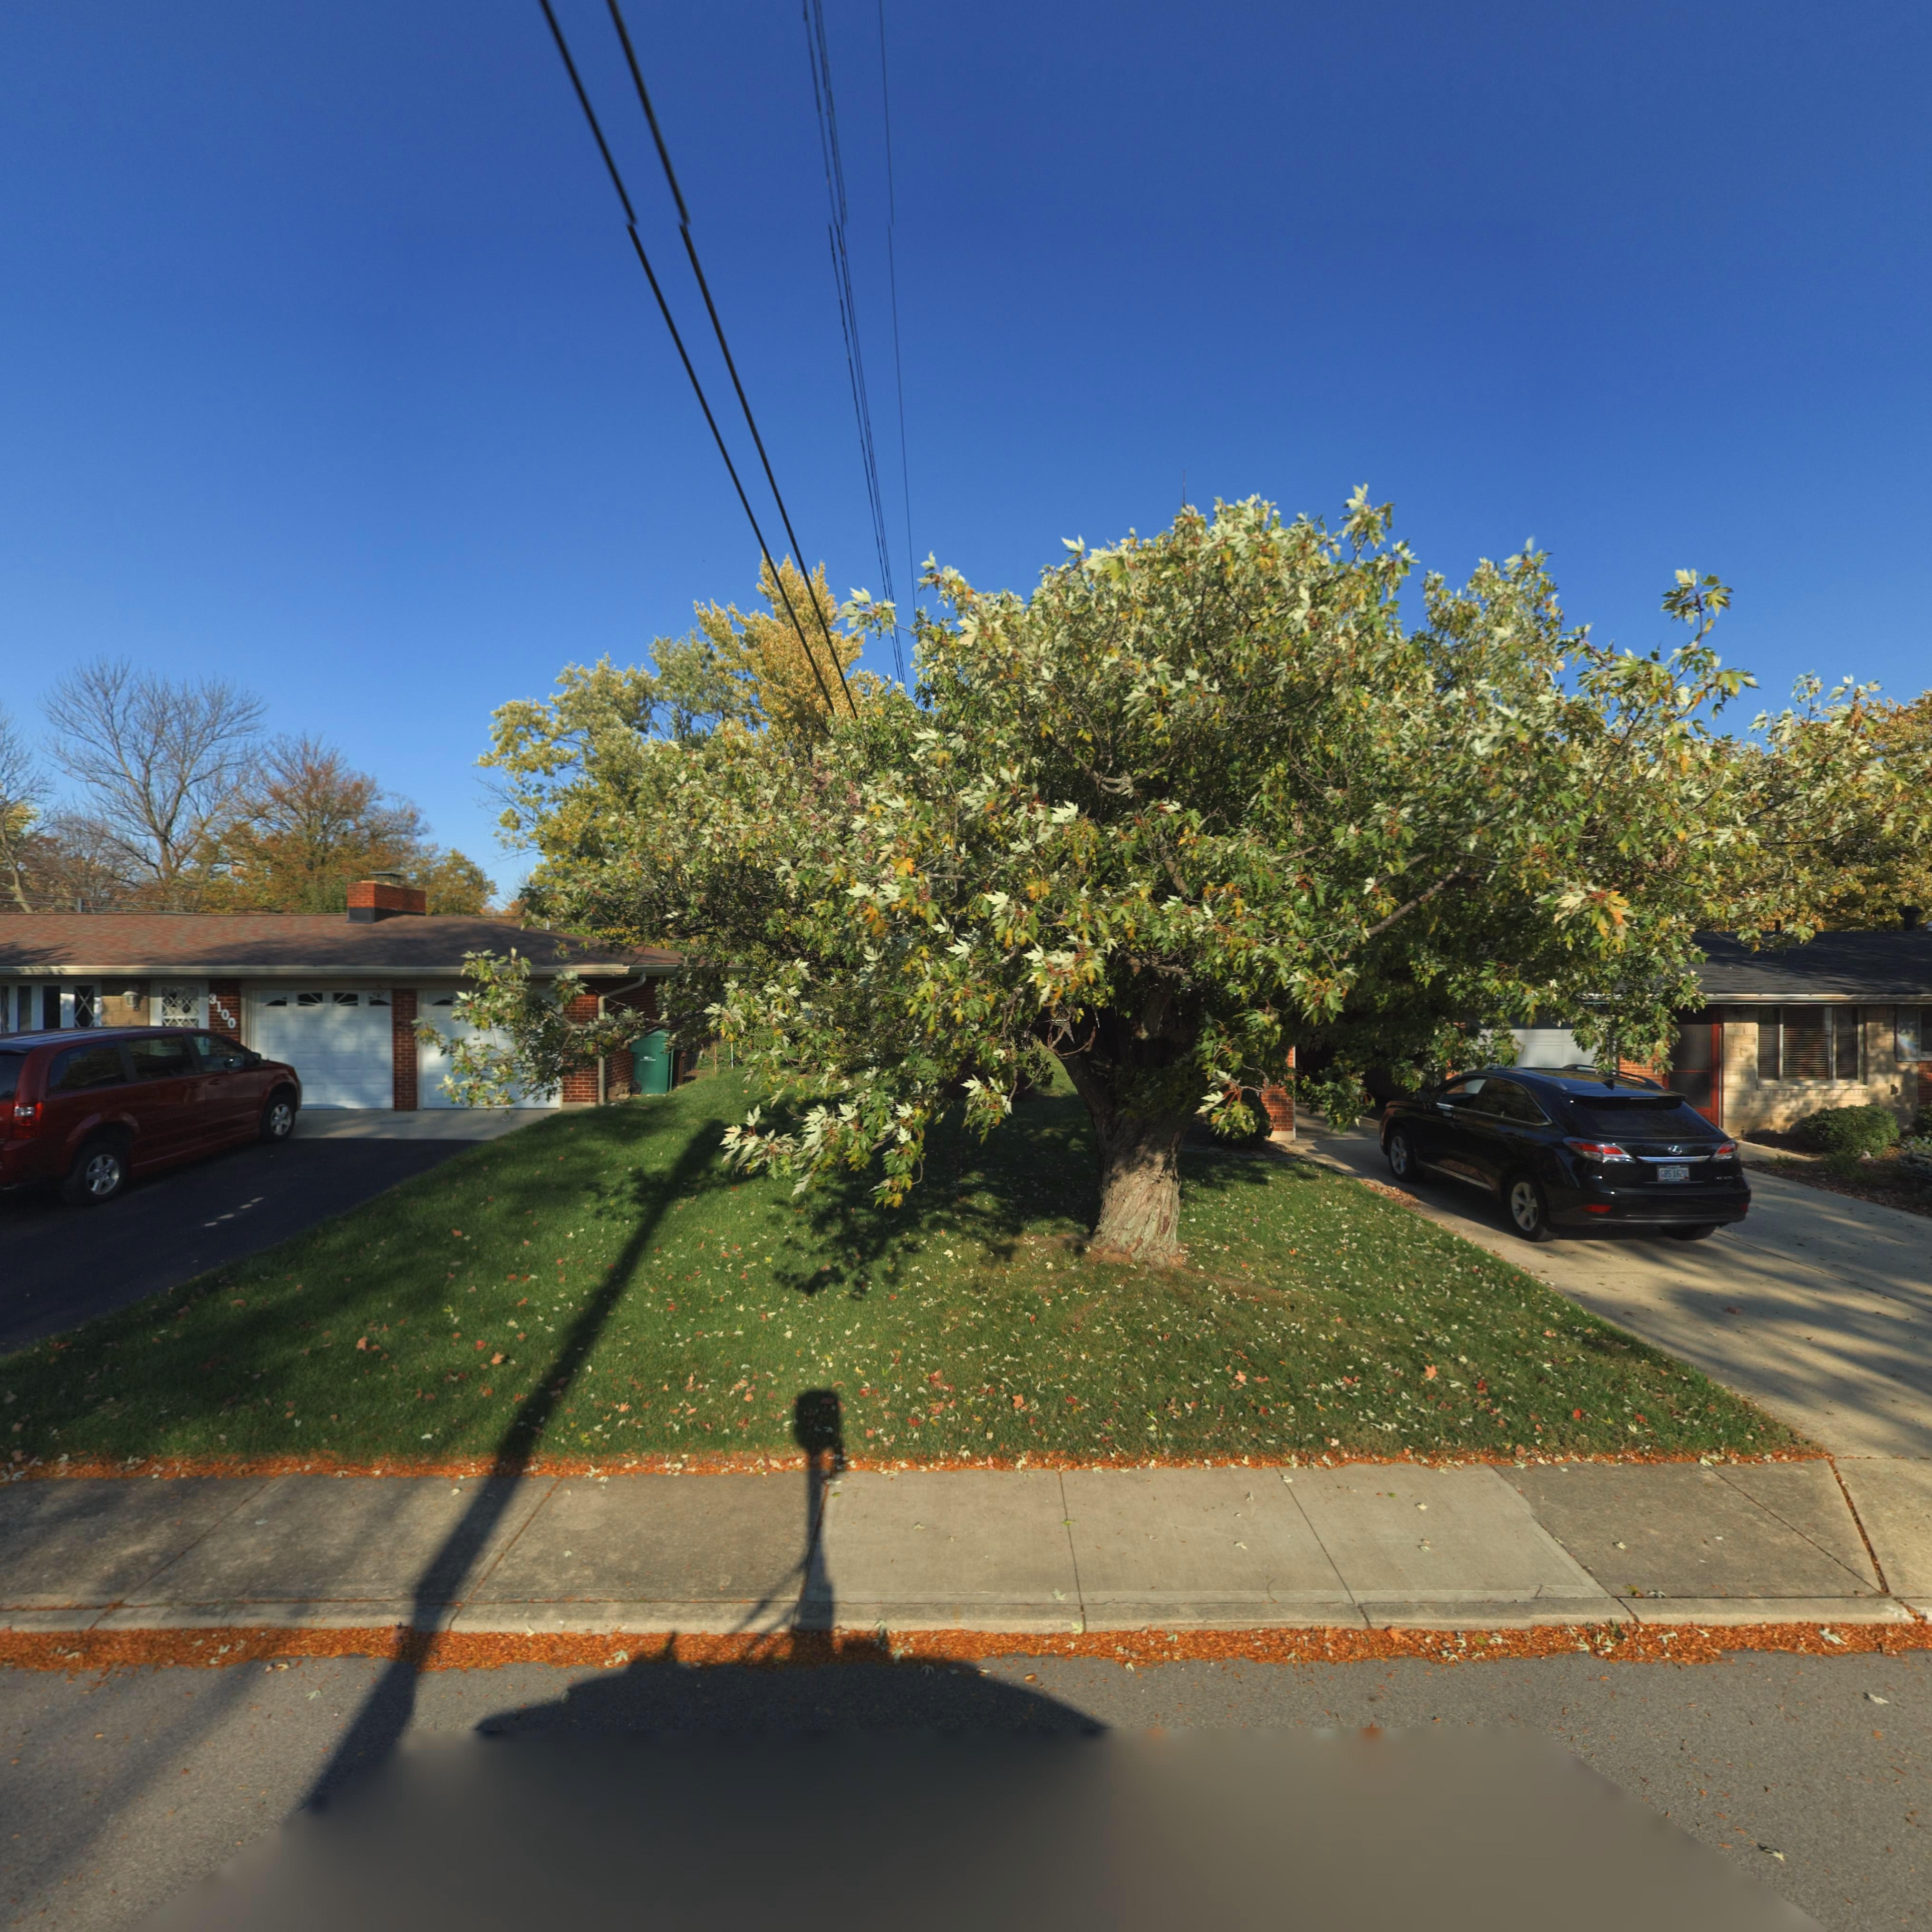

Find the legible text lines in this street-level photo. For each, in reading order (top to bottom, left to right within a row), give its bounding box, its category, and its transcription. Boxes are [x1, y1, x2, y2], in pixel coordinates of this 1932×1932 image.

[209, 992, 236, 1029] StreetNumber: 3100